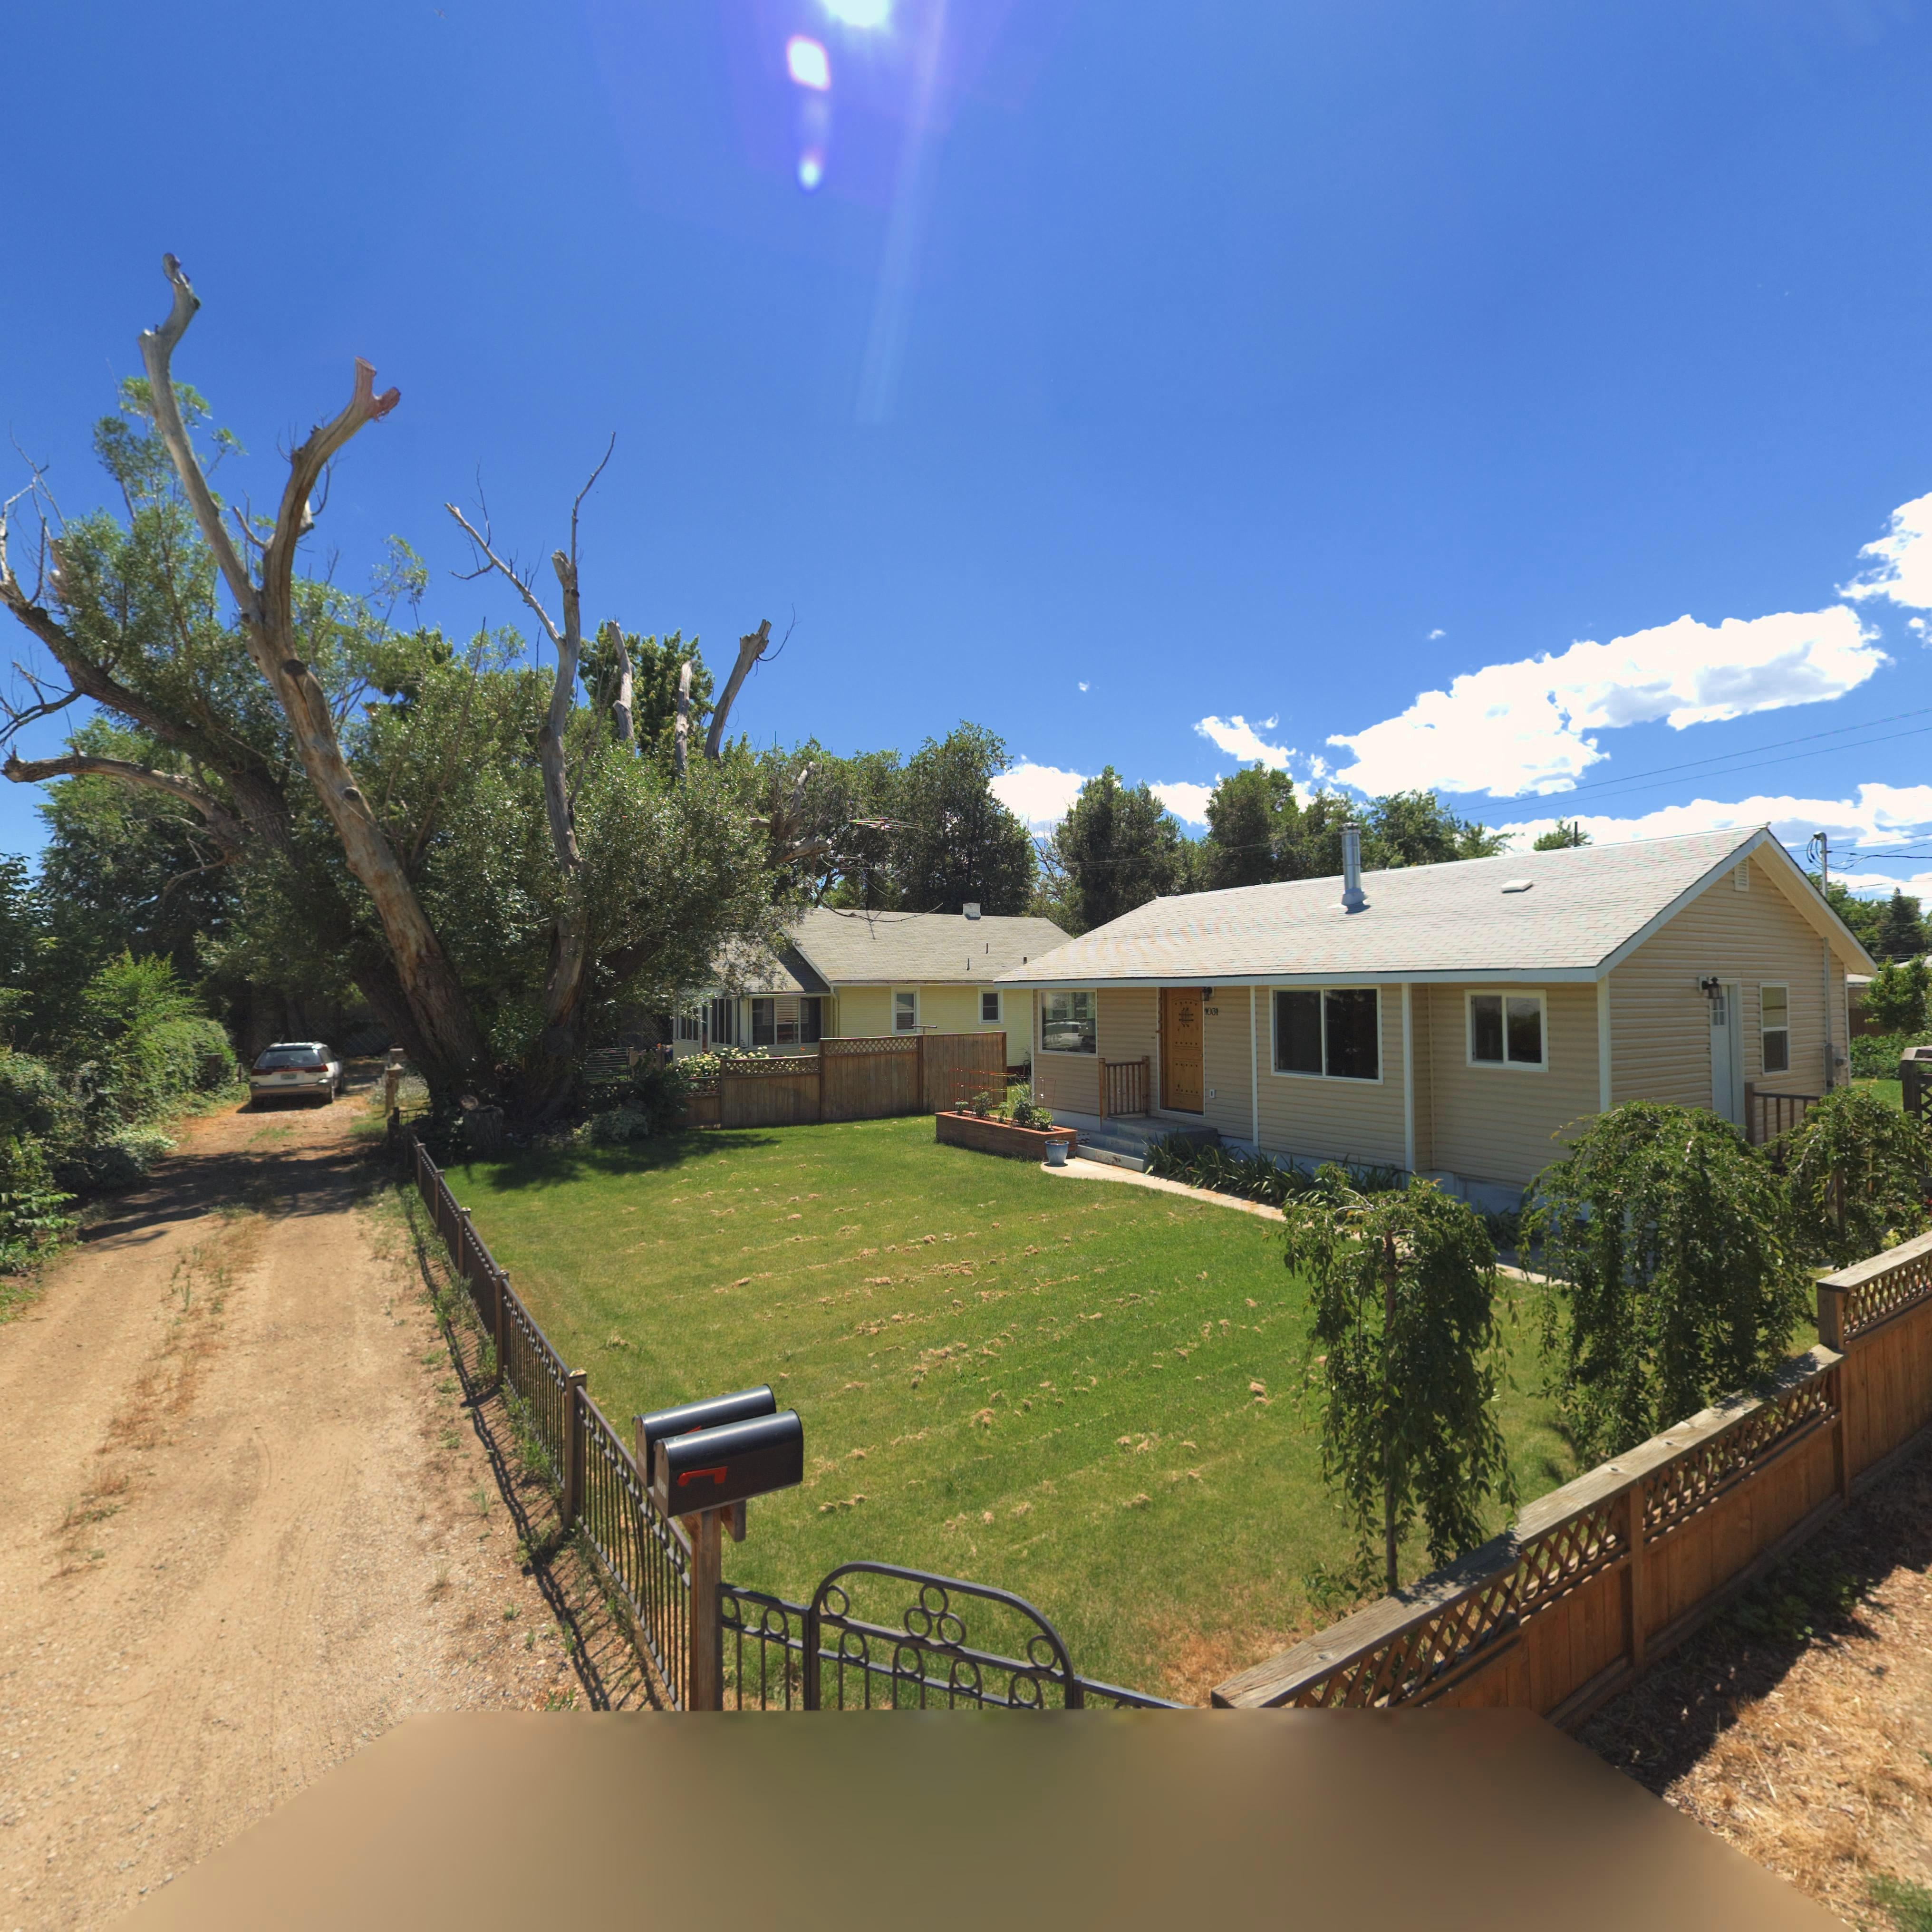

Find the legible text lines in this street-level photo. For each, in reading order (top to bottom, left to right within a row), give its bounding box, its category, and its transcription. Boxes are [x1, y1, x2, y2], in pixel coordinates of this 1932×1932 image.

[1204, 1006, 1218, 1015] StreetNumber: 1031
[657, 1476, 667, 1498] StreetNumber: 1031